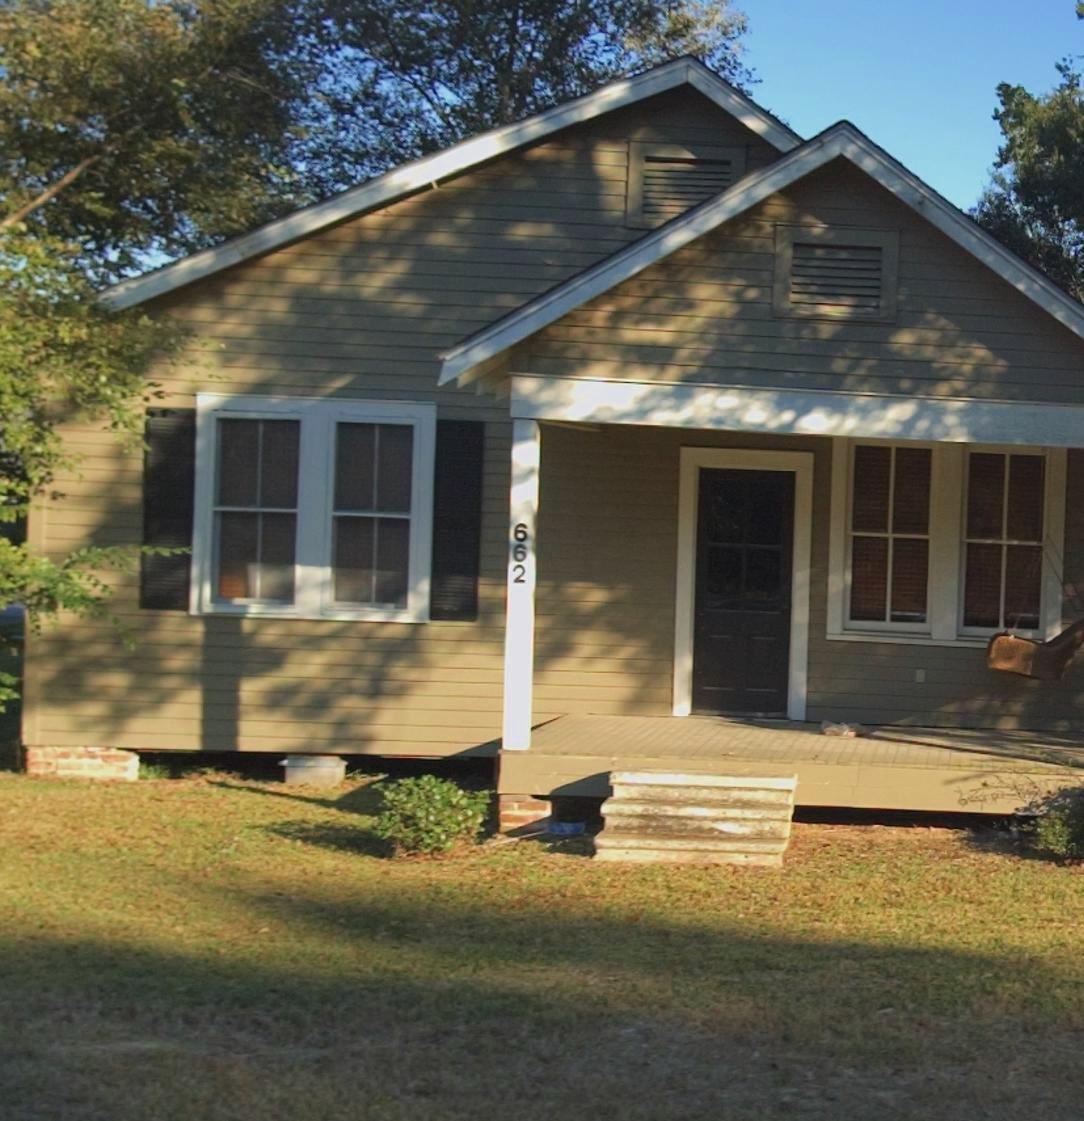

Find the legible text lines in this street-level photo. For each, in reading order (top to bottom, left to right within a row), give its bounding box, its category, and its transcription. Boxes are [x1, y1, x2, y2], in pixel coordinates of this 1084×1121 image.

[513, 523, 529, 584] StreetNumber: 662